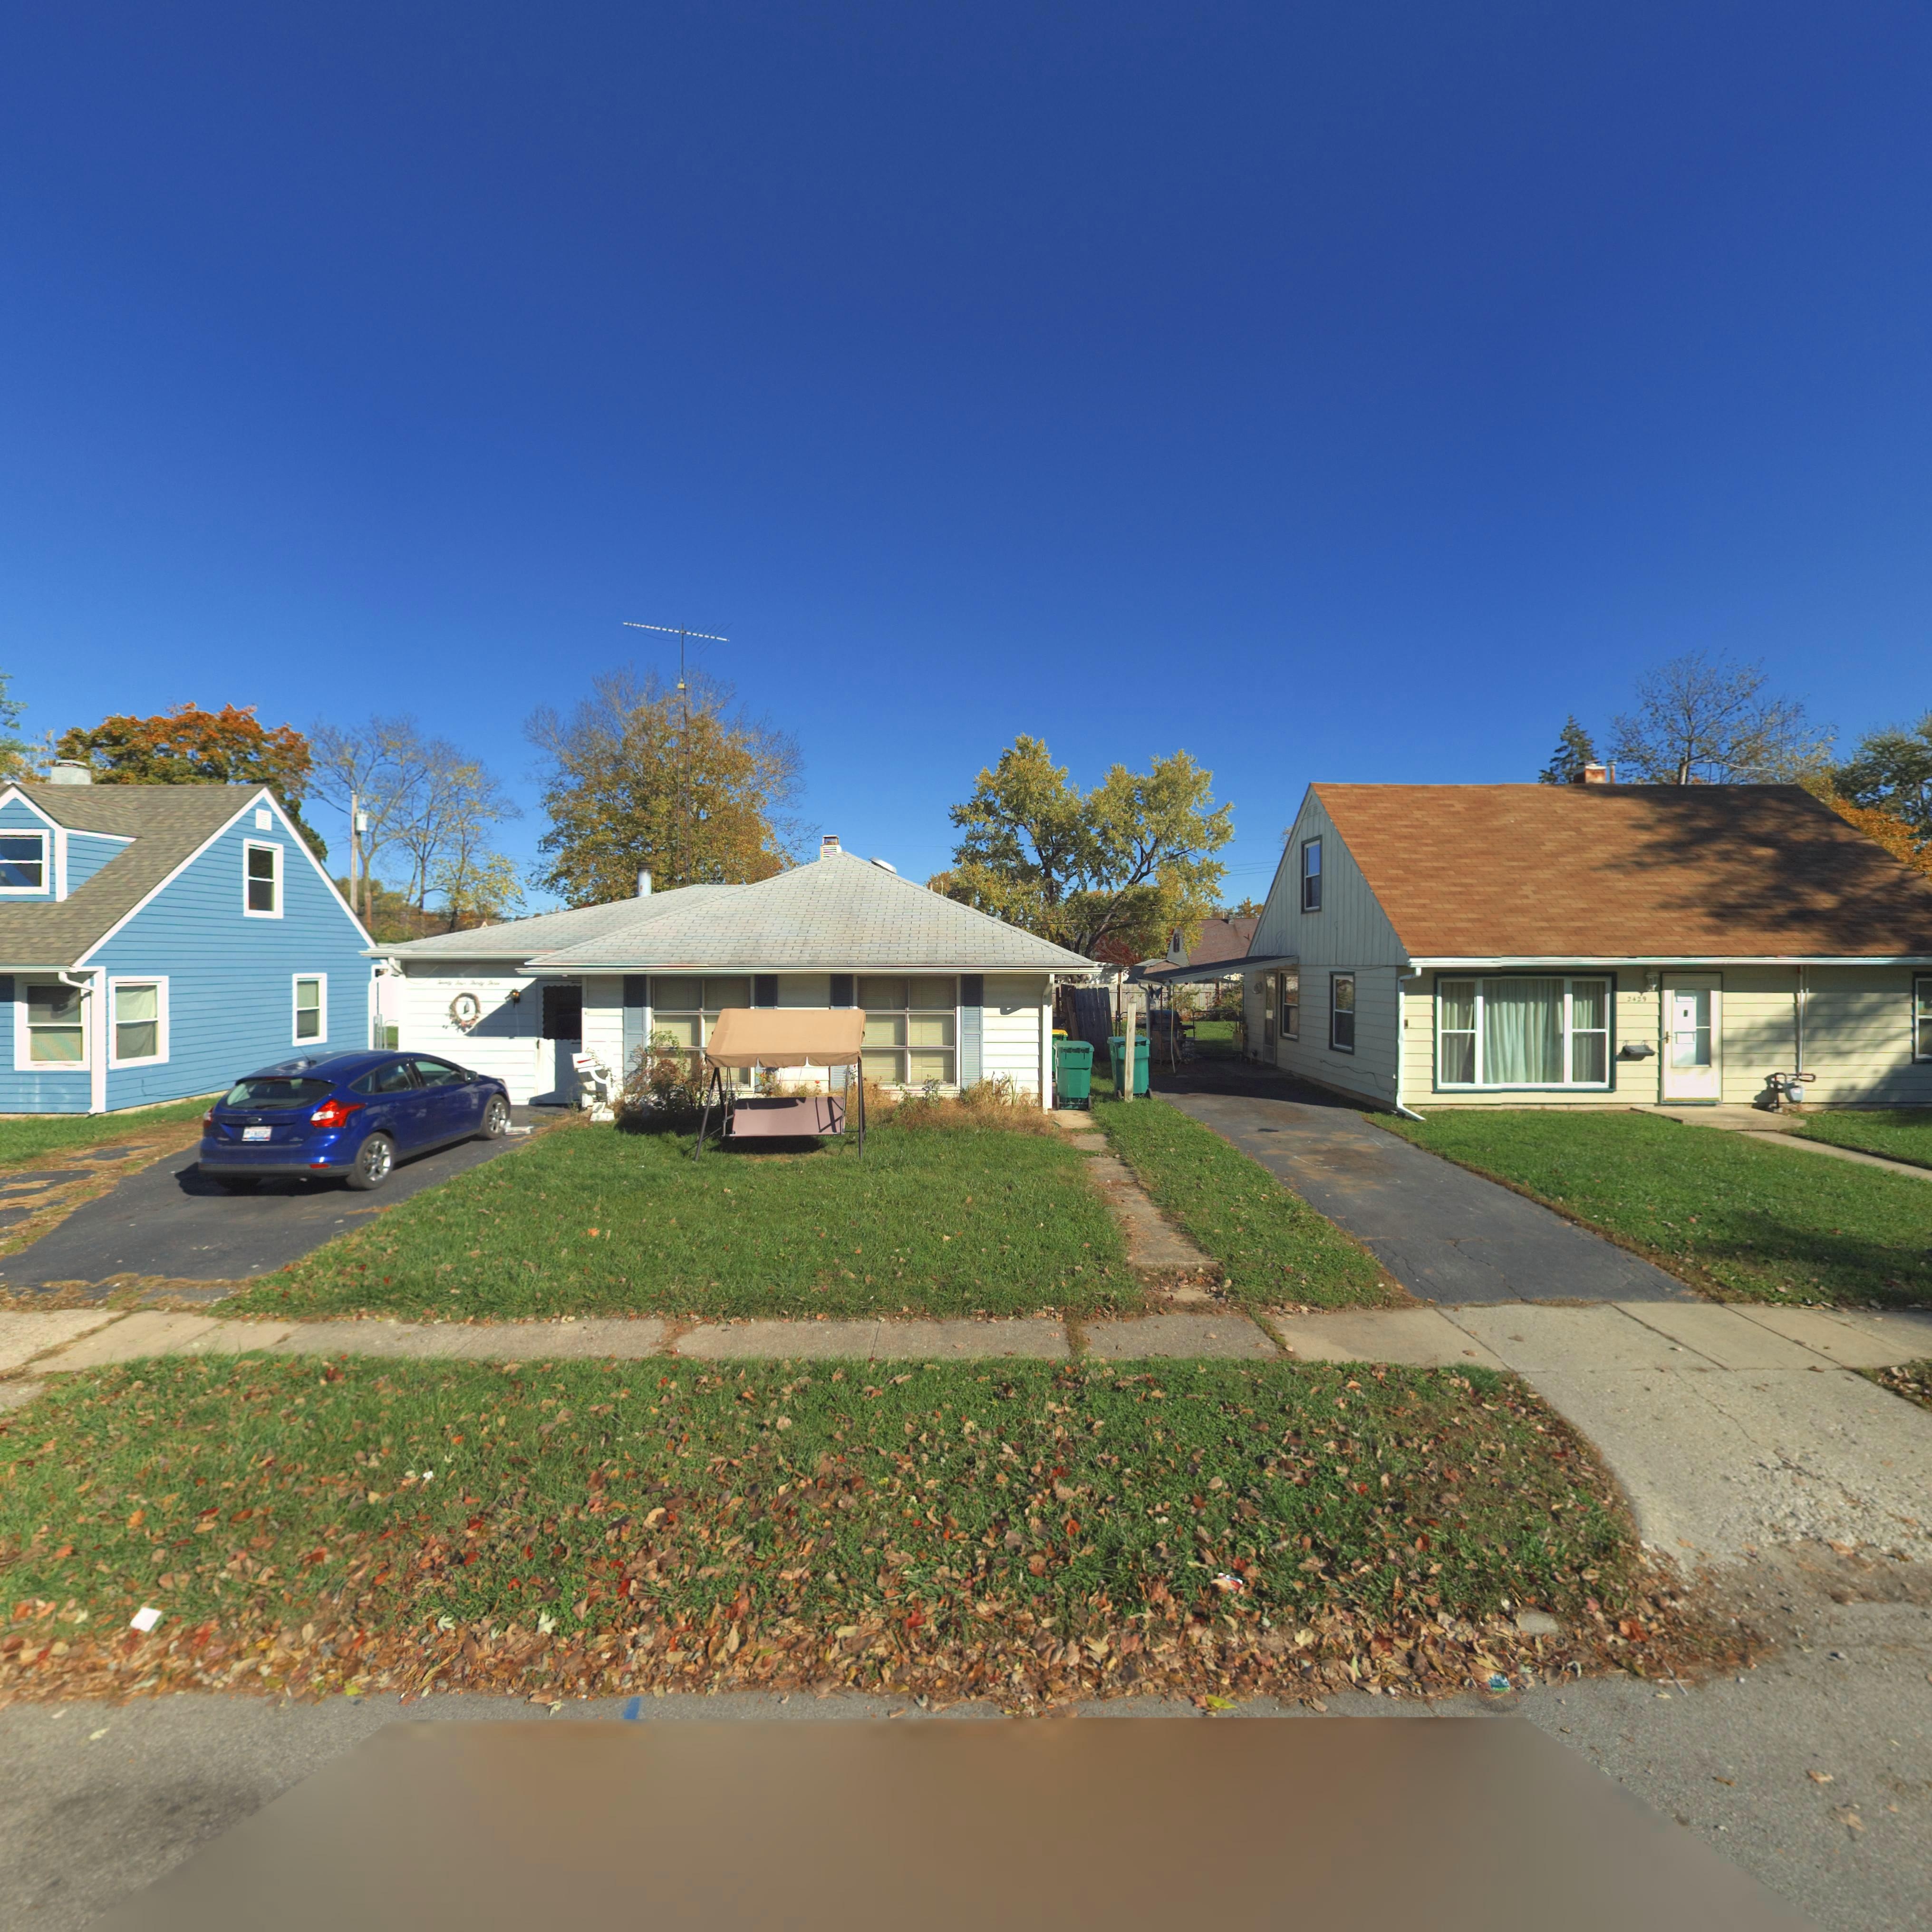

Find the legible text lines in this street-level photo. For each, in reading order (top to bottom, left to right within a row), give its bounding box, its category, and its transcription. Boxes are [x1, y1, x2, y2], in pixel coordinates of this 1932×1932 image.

[1626, 995, 1648, 1003] StreetNumber: 2429